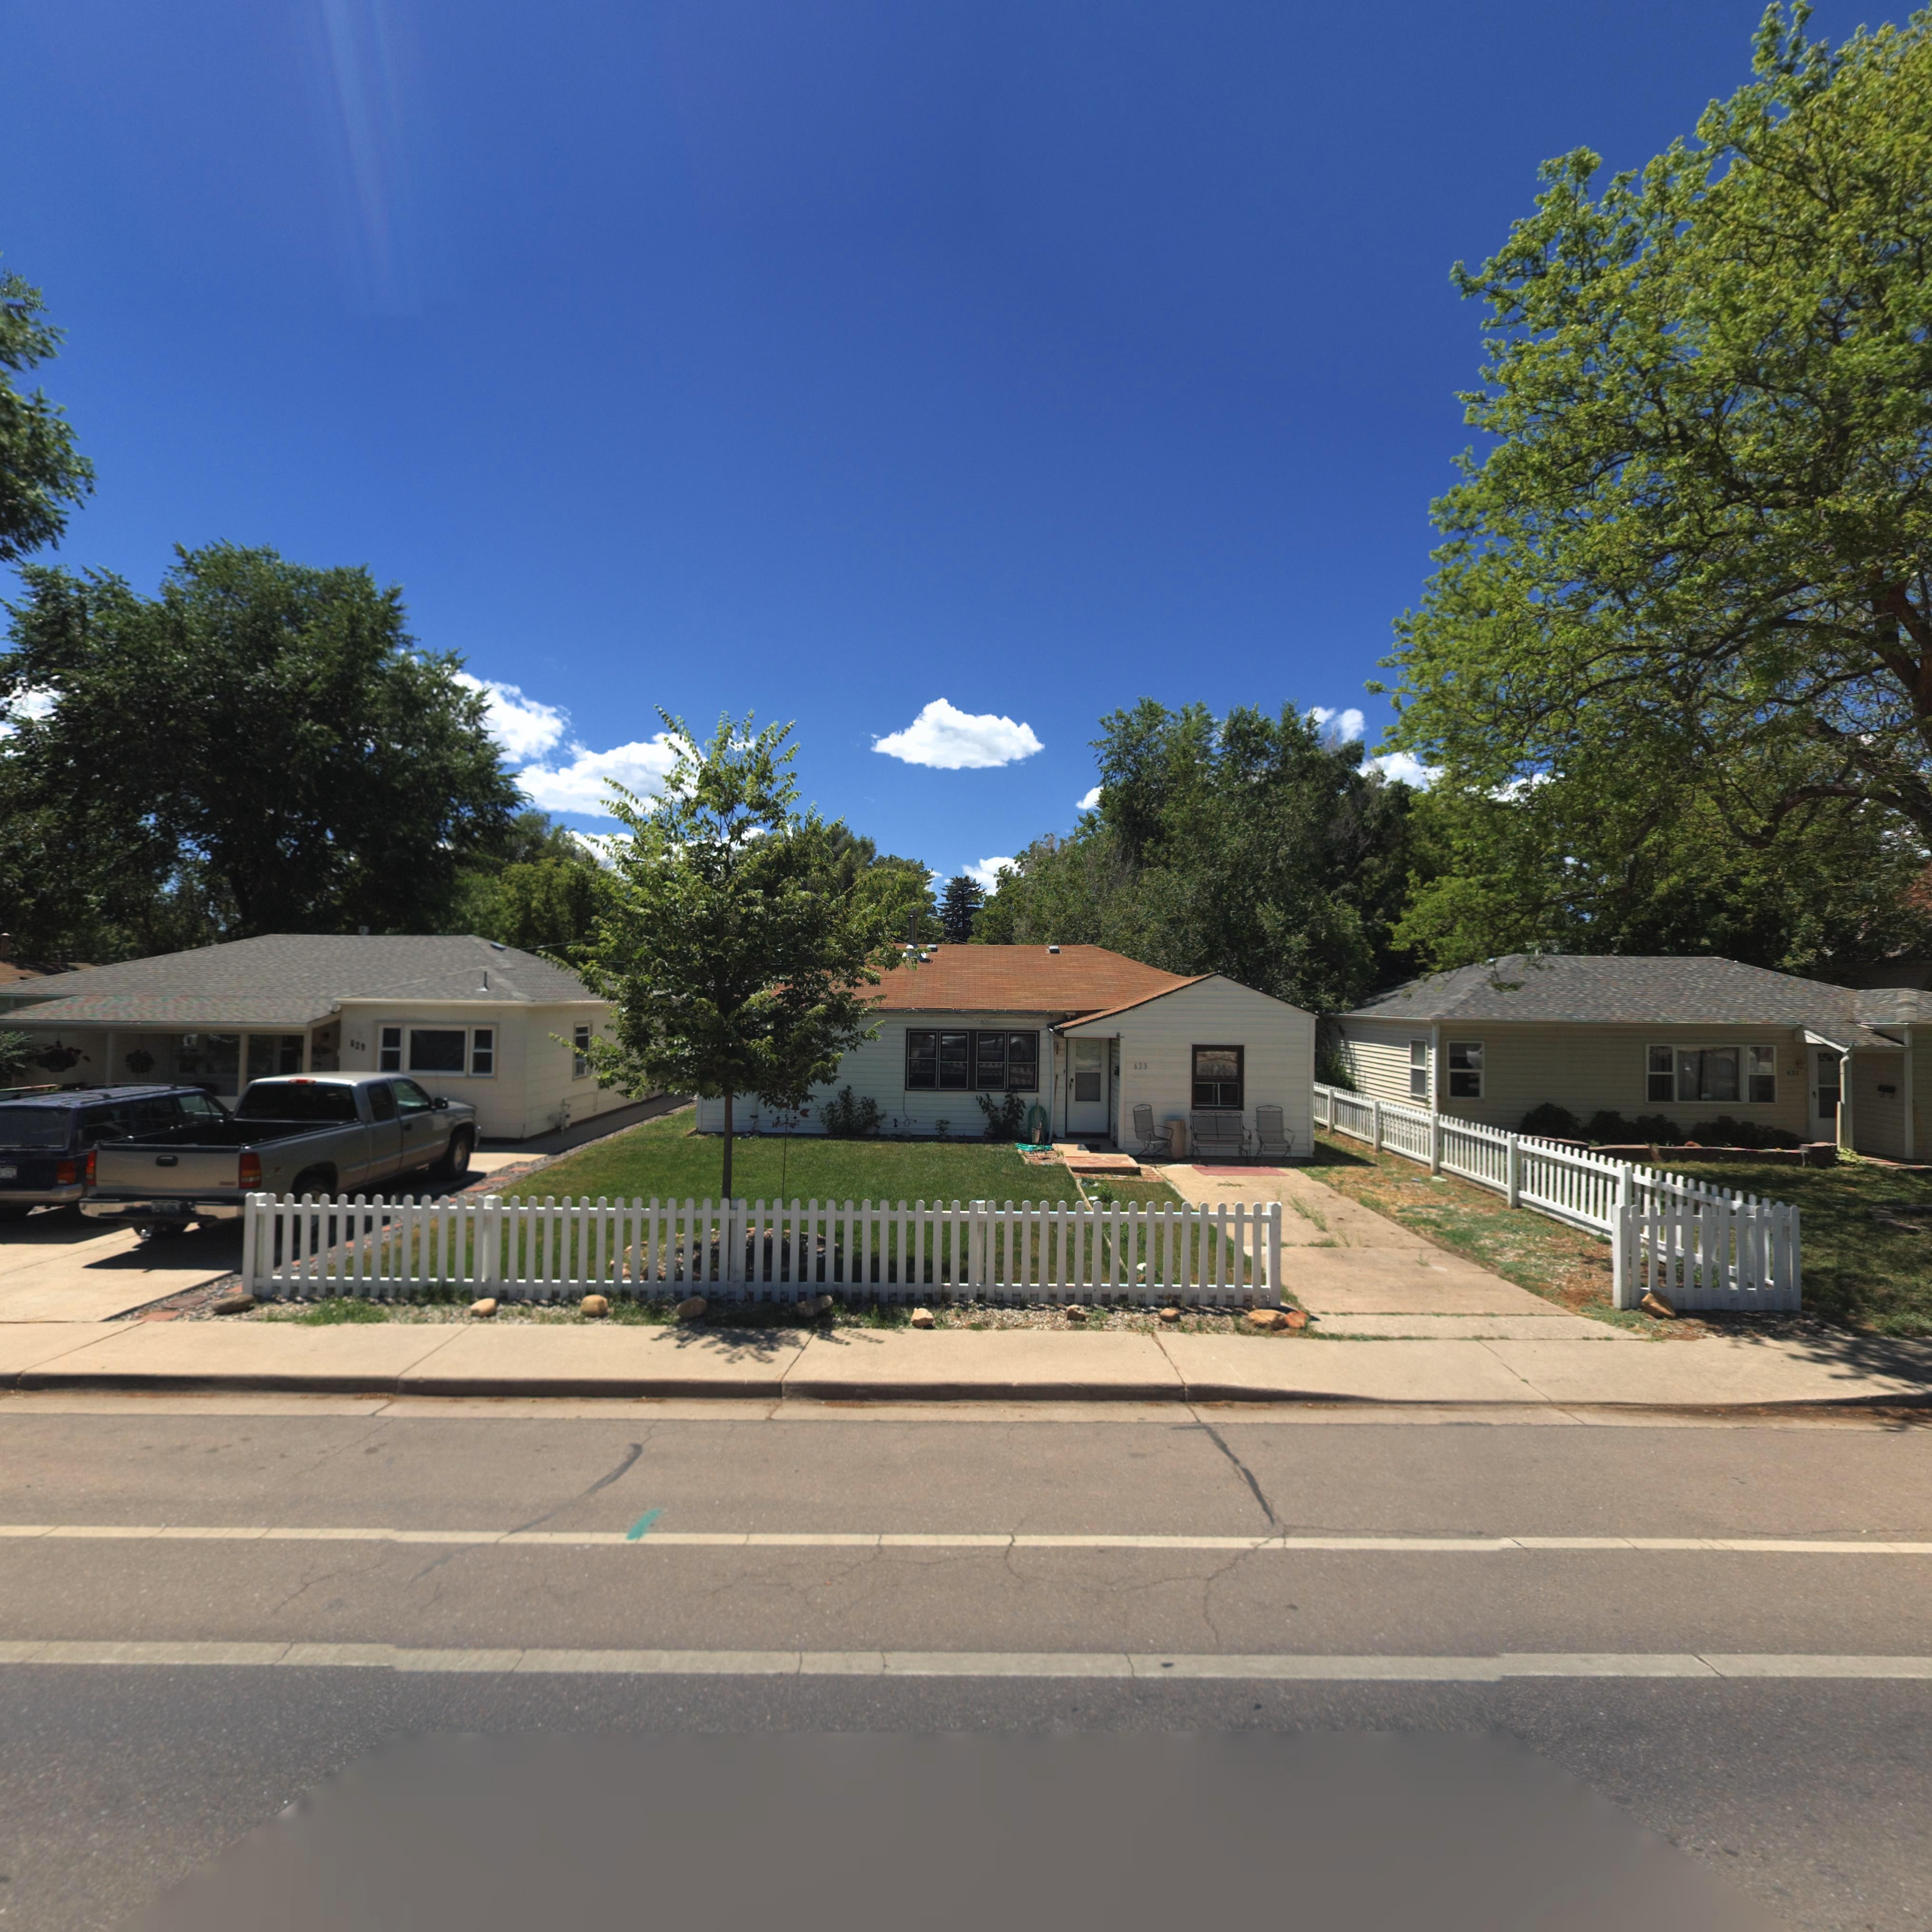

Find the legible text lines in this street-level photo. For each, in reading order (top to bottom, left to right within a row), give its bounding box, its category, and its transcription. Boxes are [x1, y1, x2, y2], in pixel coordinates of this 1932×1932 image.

[349, 1038, 366, 1052] StreetNumber: 629
[1133, 1062, 1148, 1070] StreetNumber: 633
[1787, 1070, 1800, 1076] StreetNumber: *37